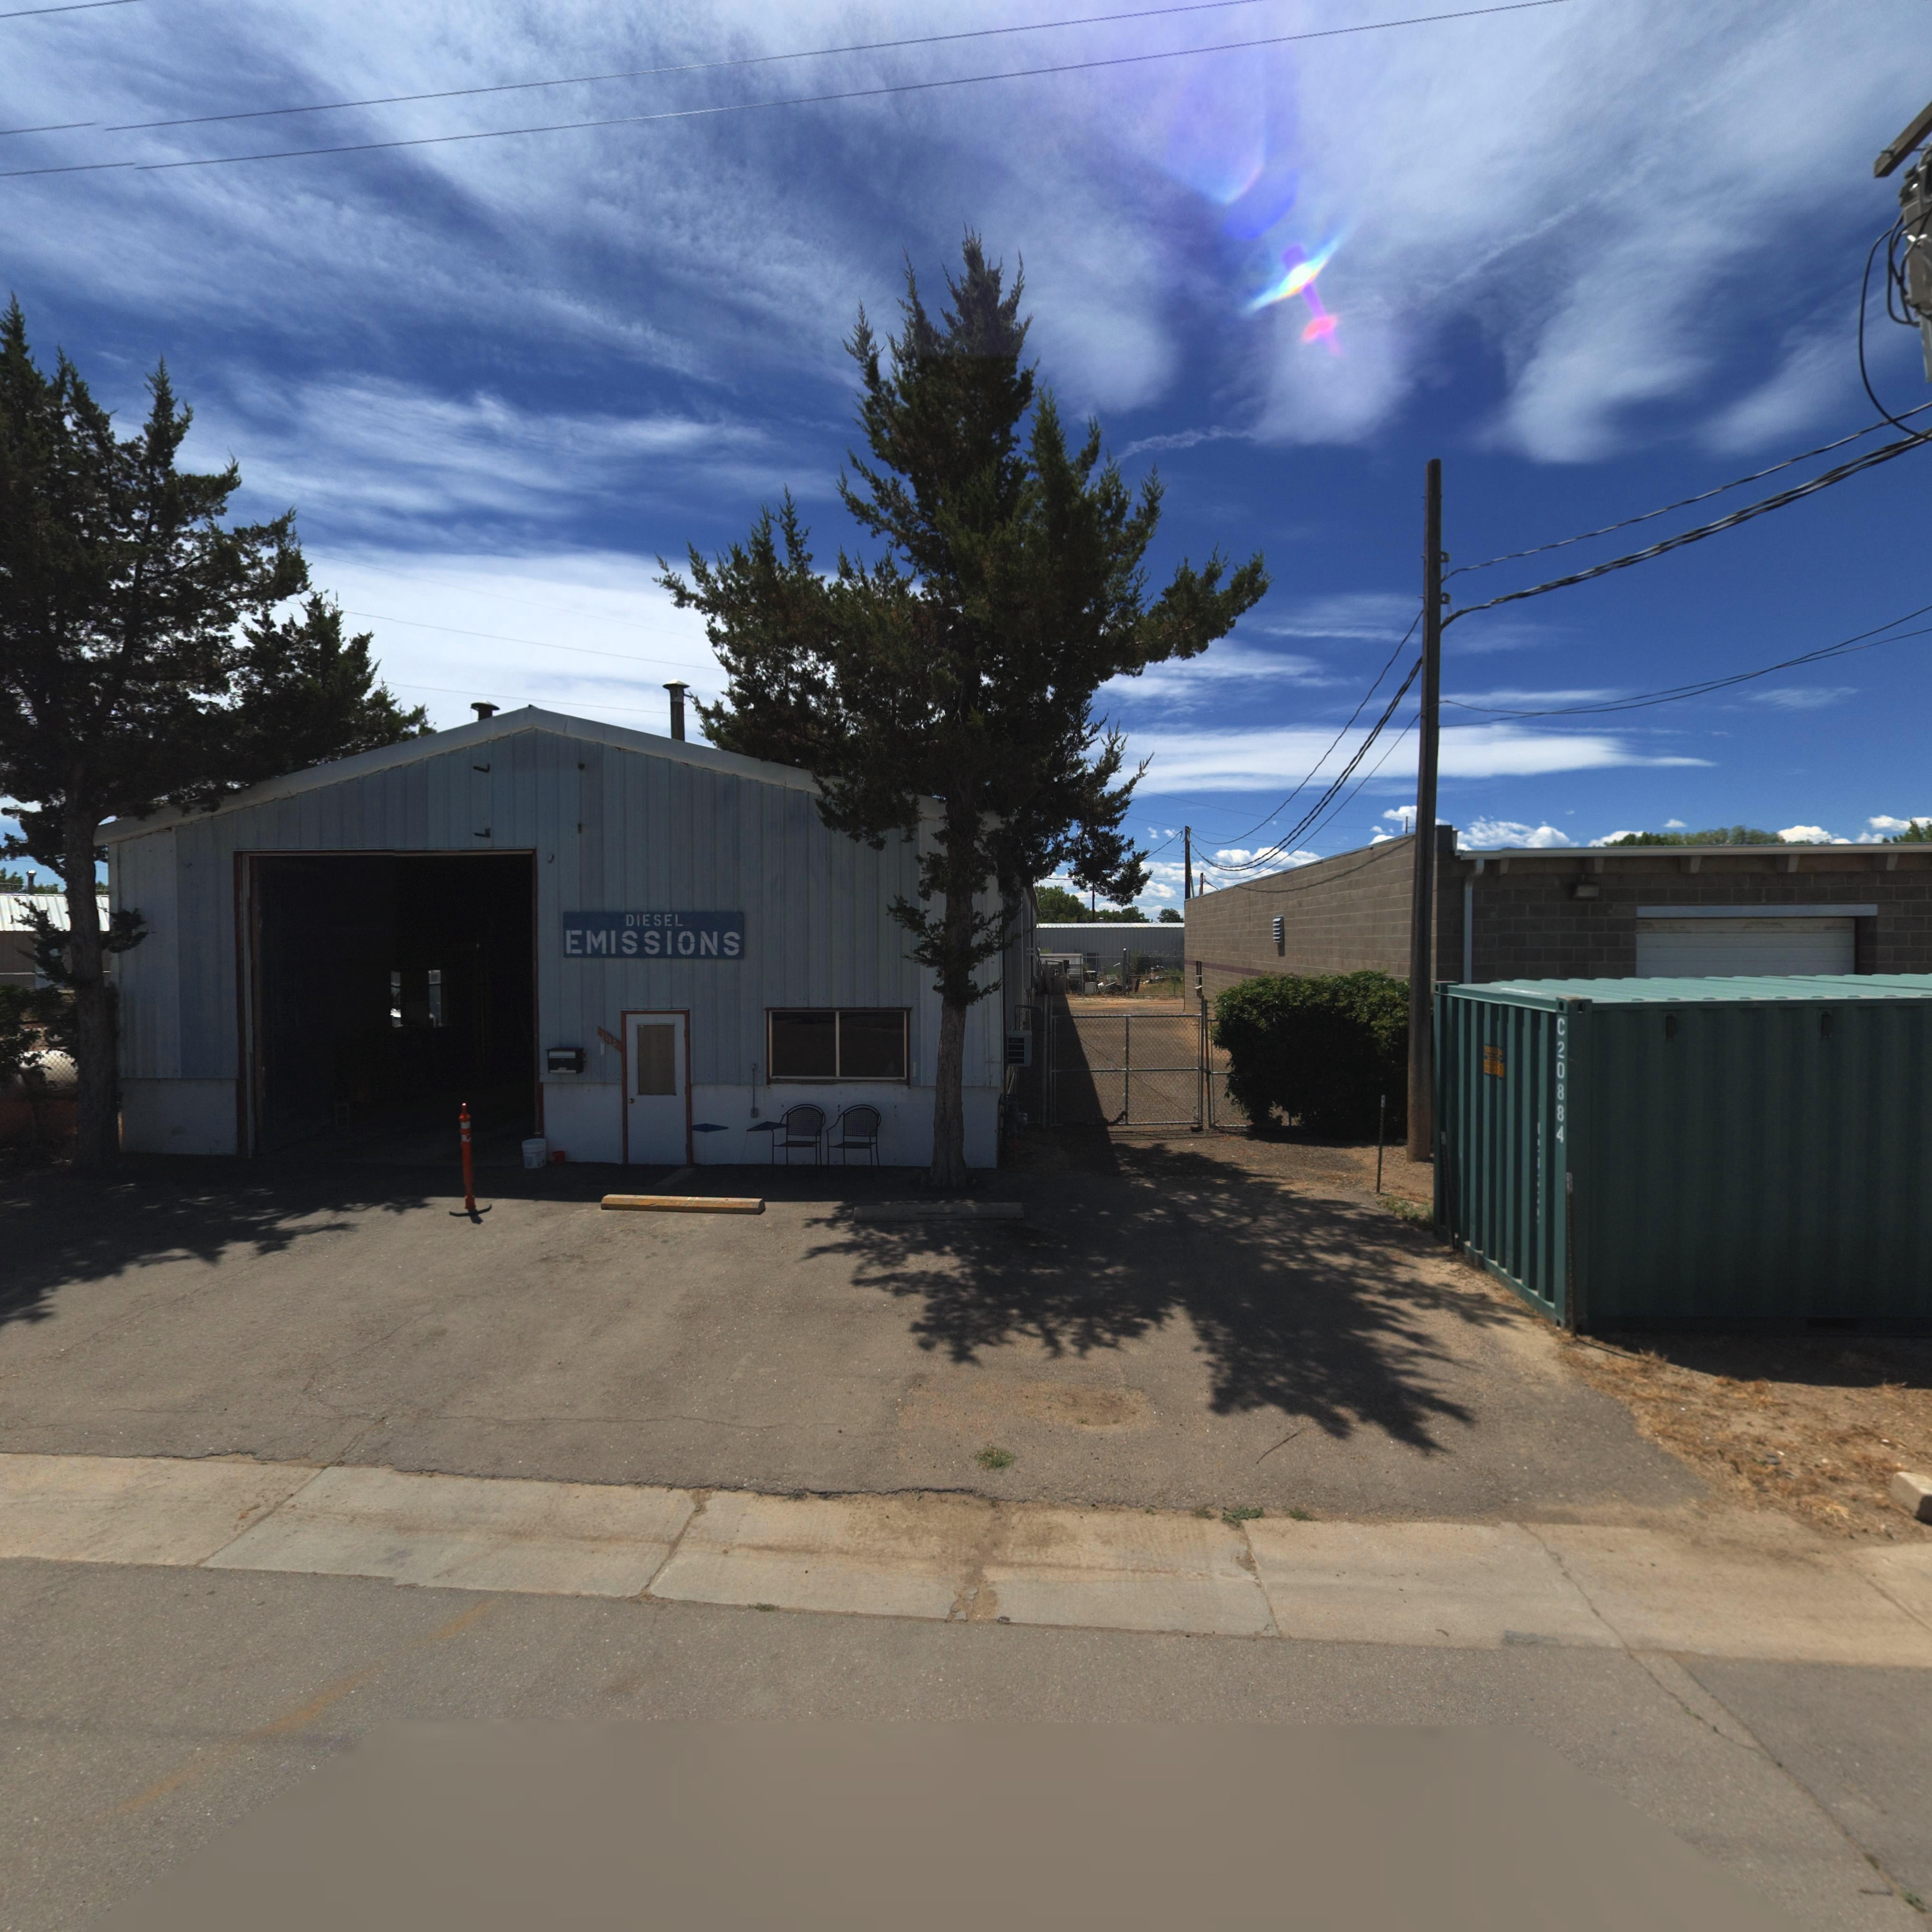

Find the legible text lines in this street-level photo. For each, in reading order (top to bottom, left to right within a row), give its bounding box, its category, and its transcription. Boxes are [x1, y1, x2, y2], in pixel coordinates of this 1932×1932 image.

[622, 913, 685, 929] BusinessName: DIESEL
[566, 930, 740, 955] BusinessName: EMISSIONS